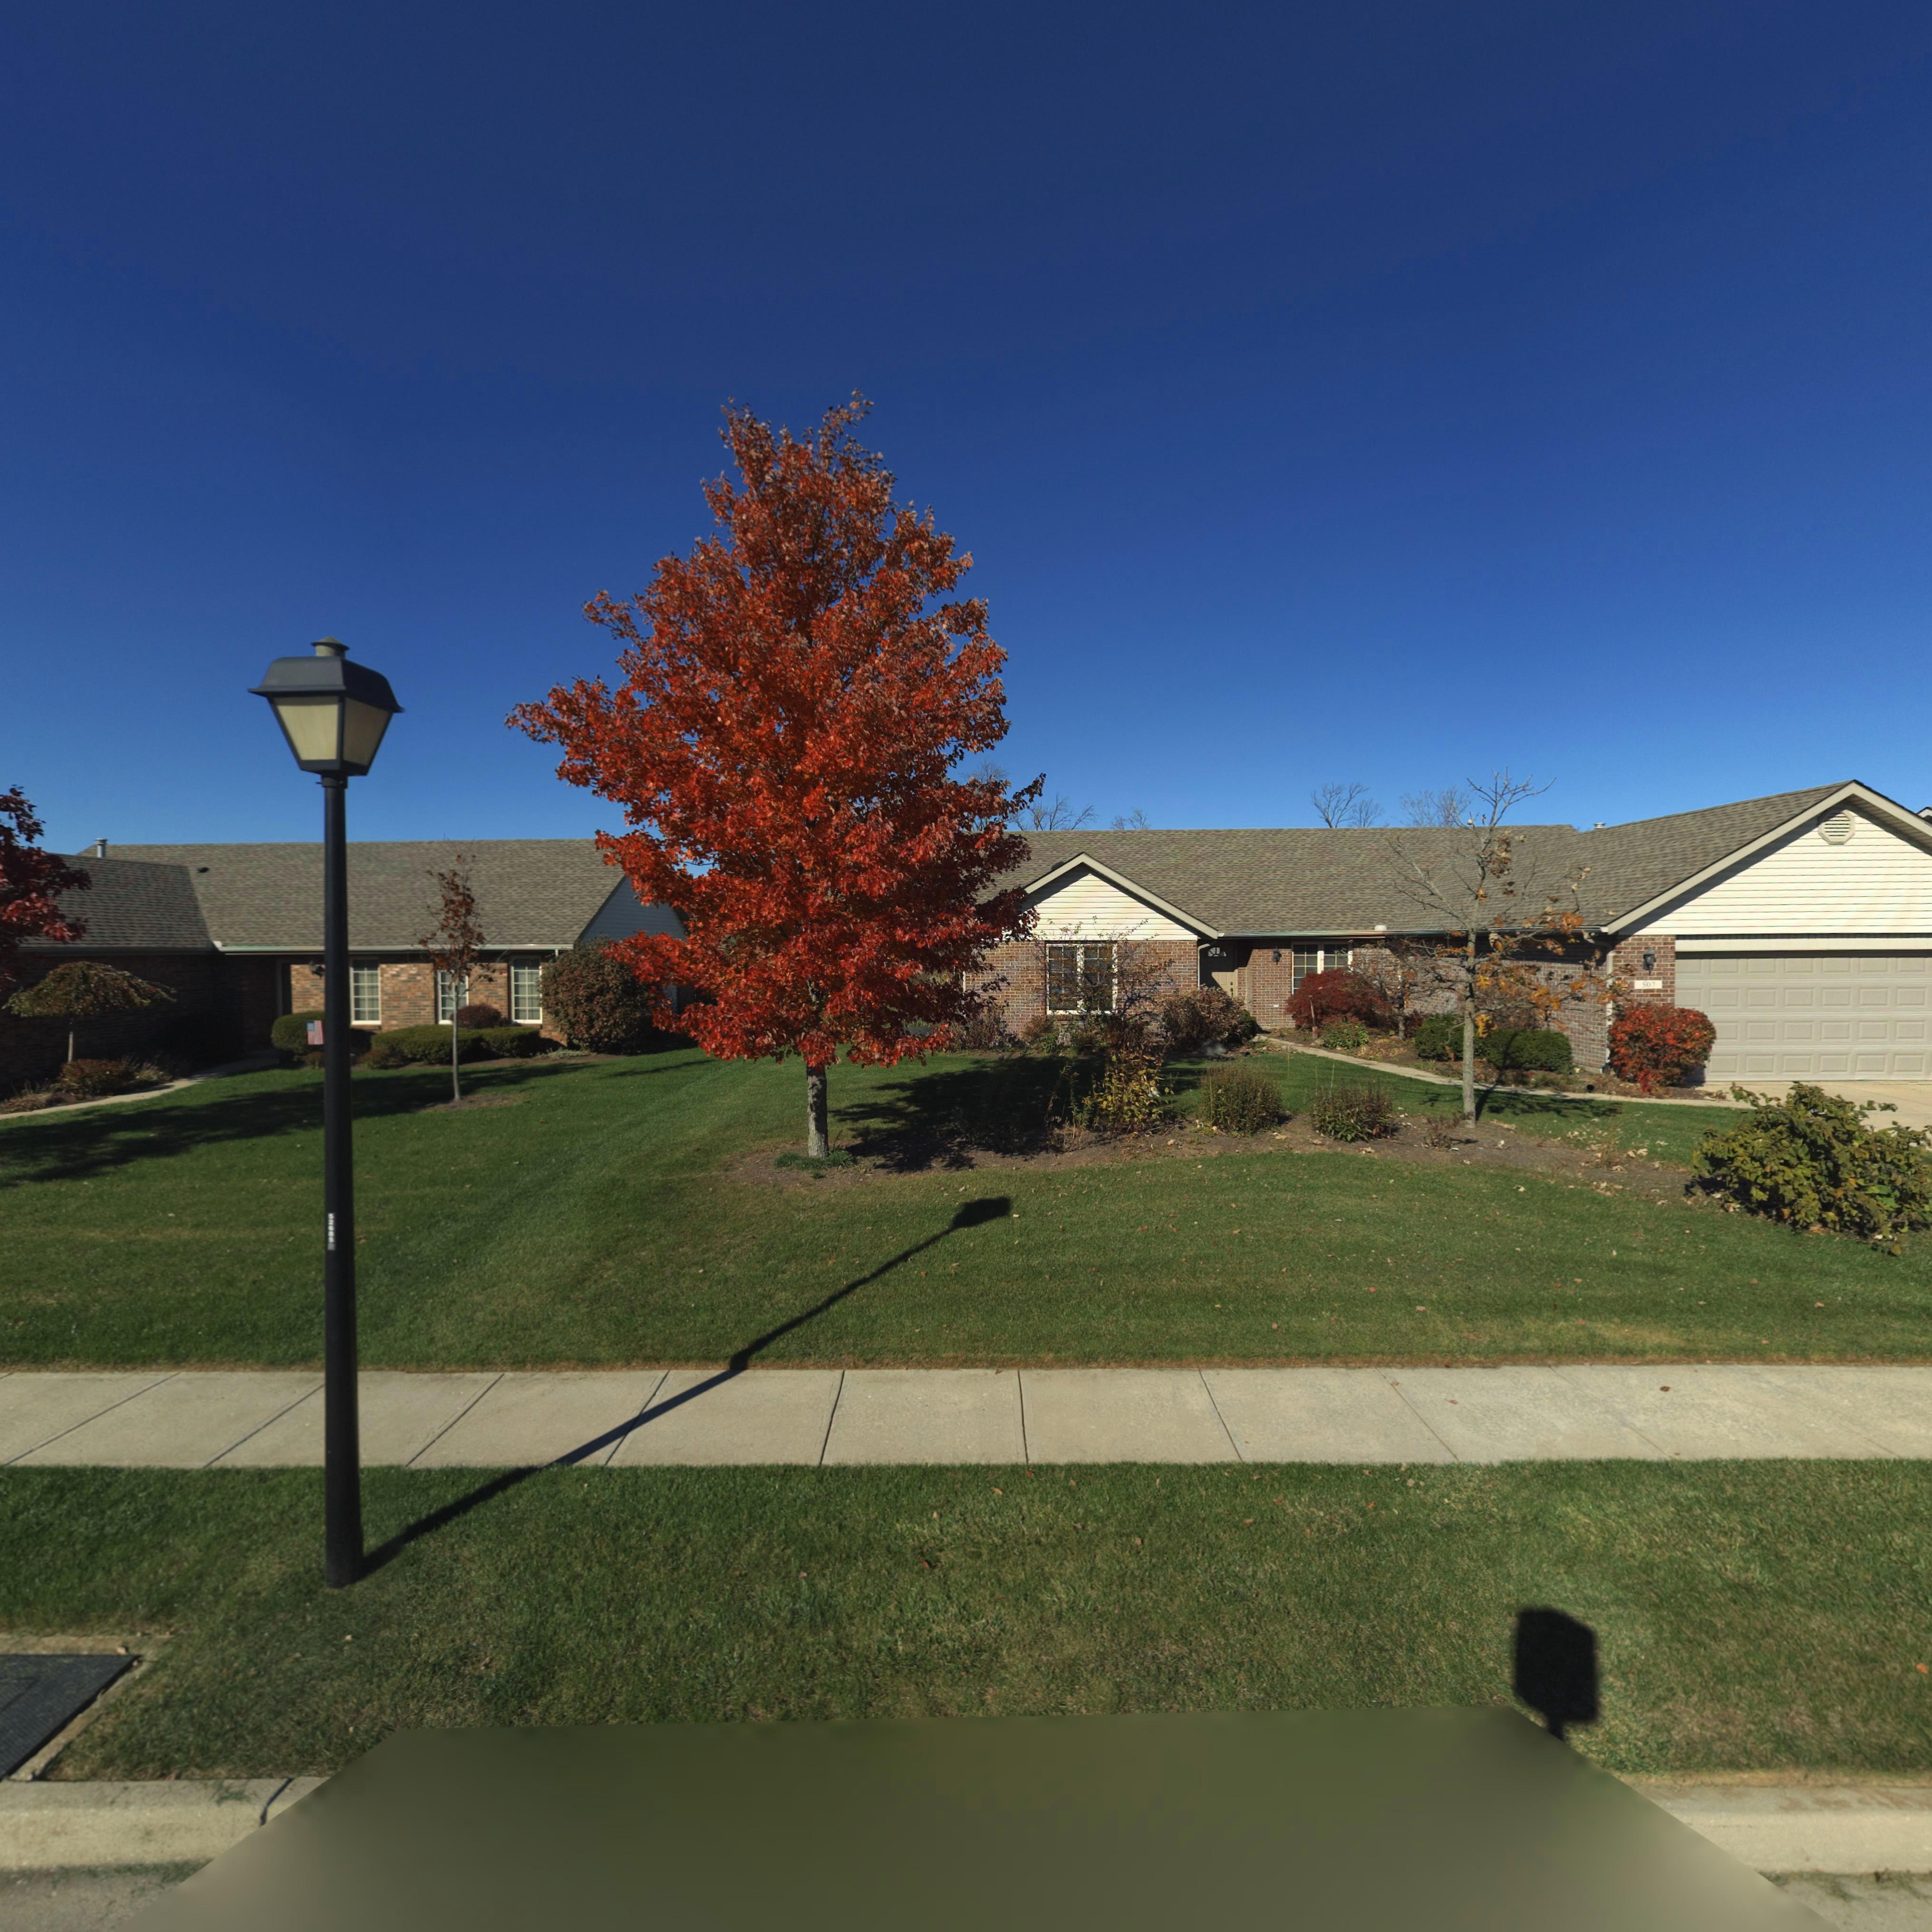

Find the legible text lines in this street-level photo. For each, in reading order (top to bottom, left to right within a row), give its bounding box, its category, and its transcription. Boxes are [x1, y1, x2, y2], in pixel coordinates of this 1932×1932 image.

[1642, 981, 1657, 989] StreetNumber: 507